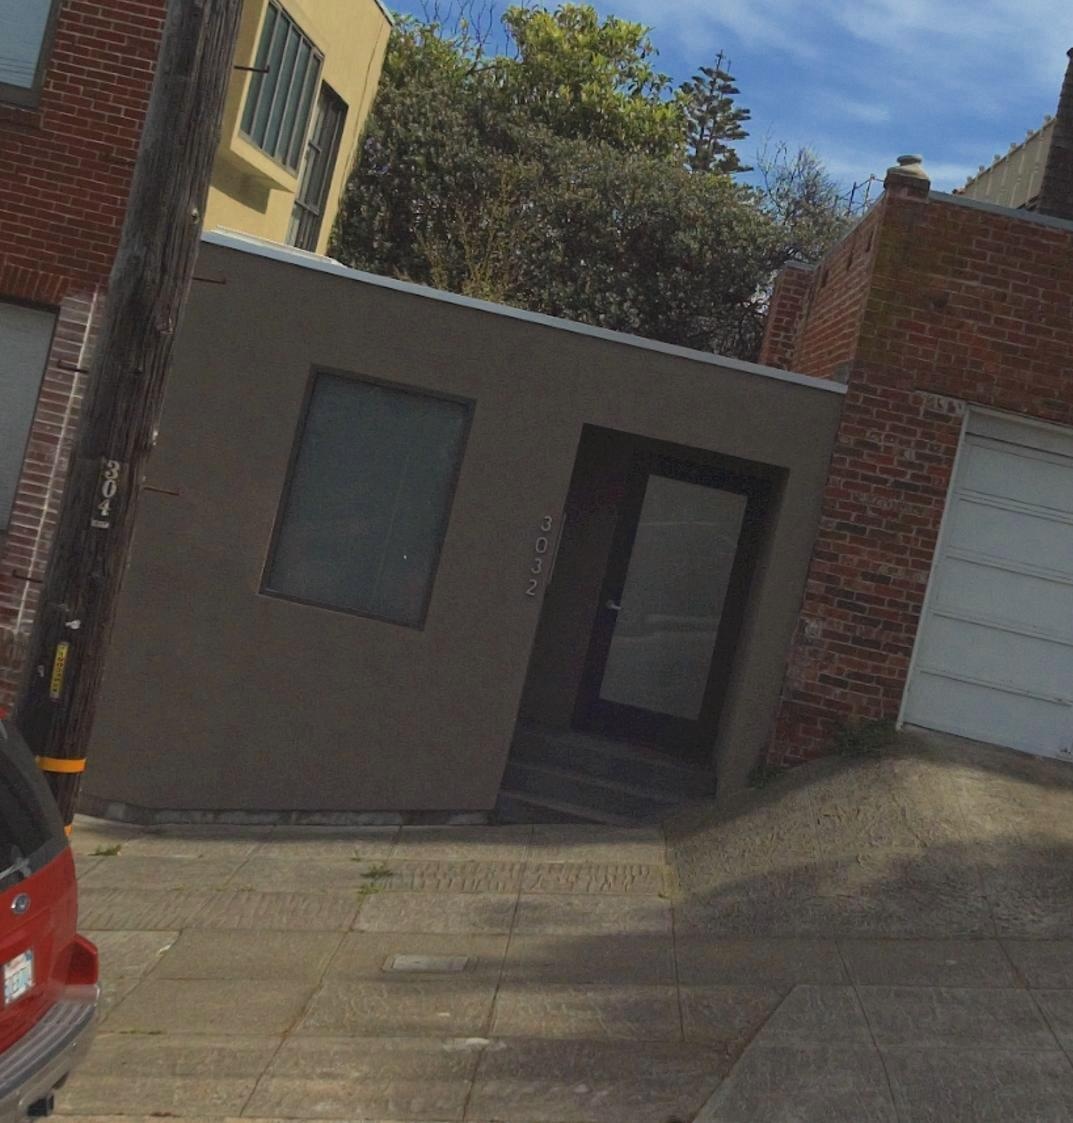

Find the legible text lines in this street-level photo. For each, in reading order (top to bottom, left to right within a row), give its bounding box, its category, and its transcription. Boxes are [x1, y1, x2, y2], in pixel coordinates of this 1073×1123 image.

[93, 455, 124, 521] None: 304
[520, 513, 554, 600] StreetNumber: 3032